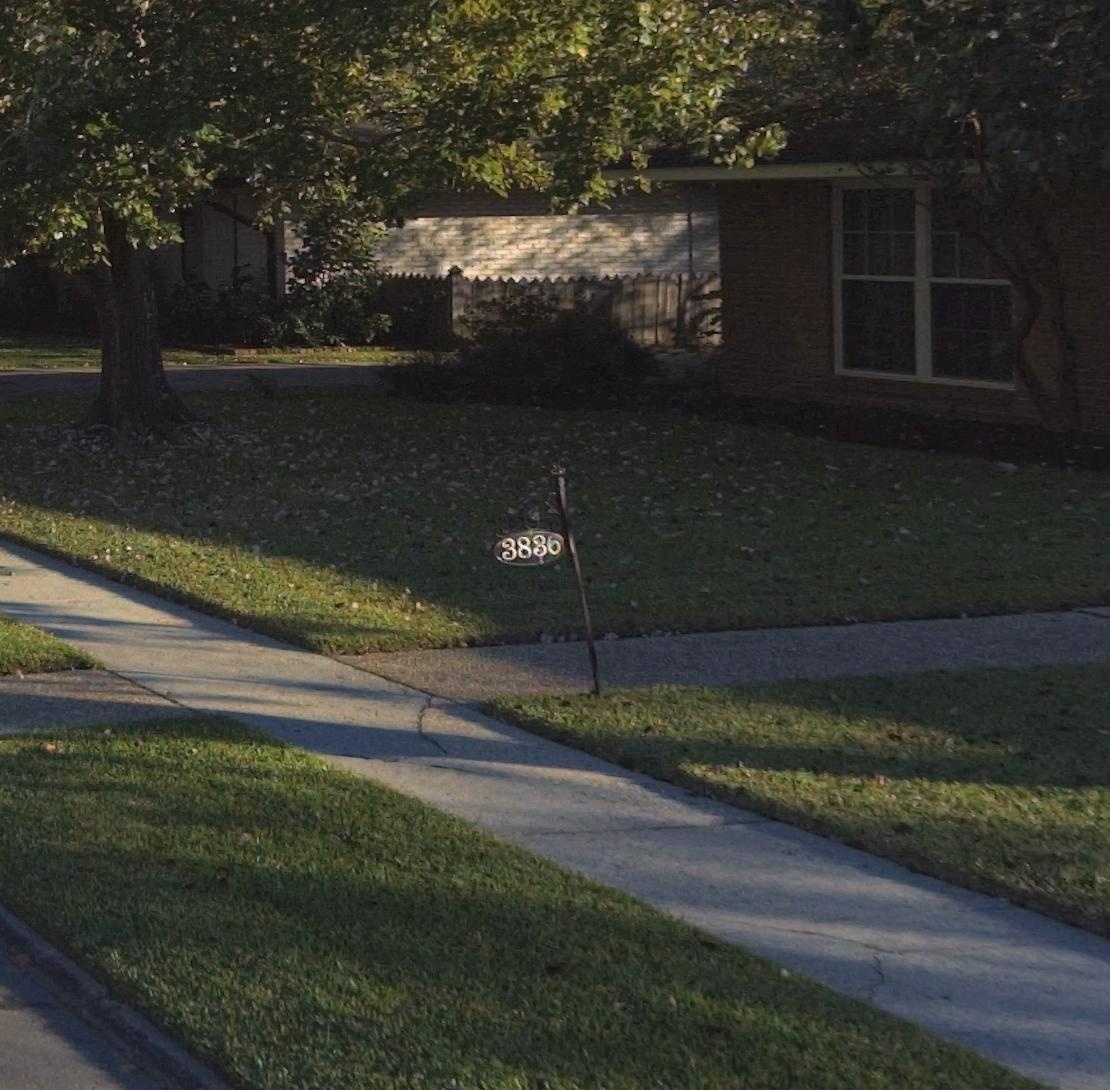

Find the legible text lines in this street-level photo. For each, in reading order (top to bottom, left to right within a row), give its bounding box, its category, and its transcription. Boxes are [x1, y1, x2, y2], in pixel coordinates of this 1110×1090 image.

[499, 530, 564, 564] StreetNumber: 383*